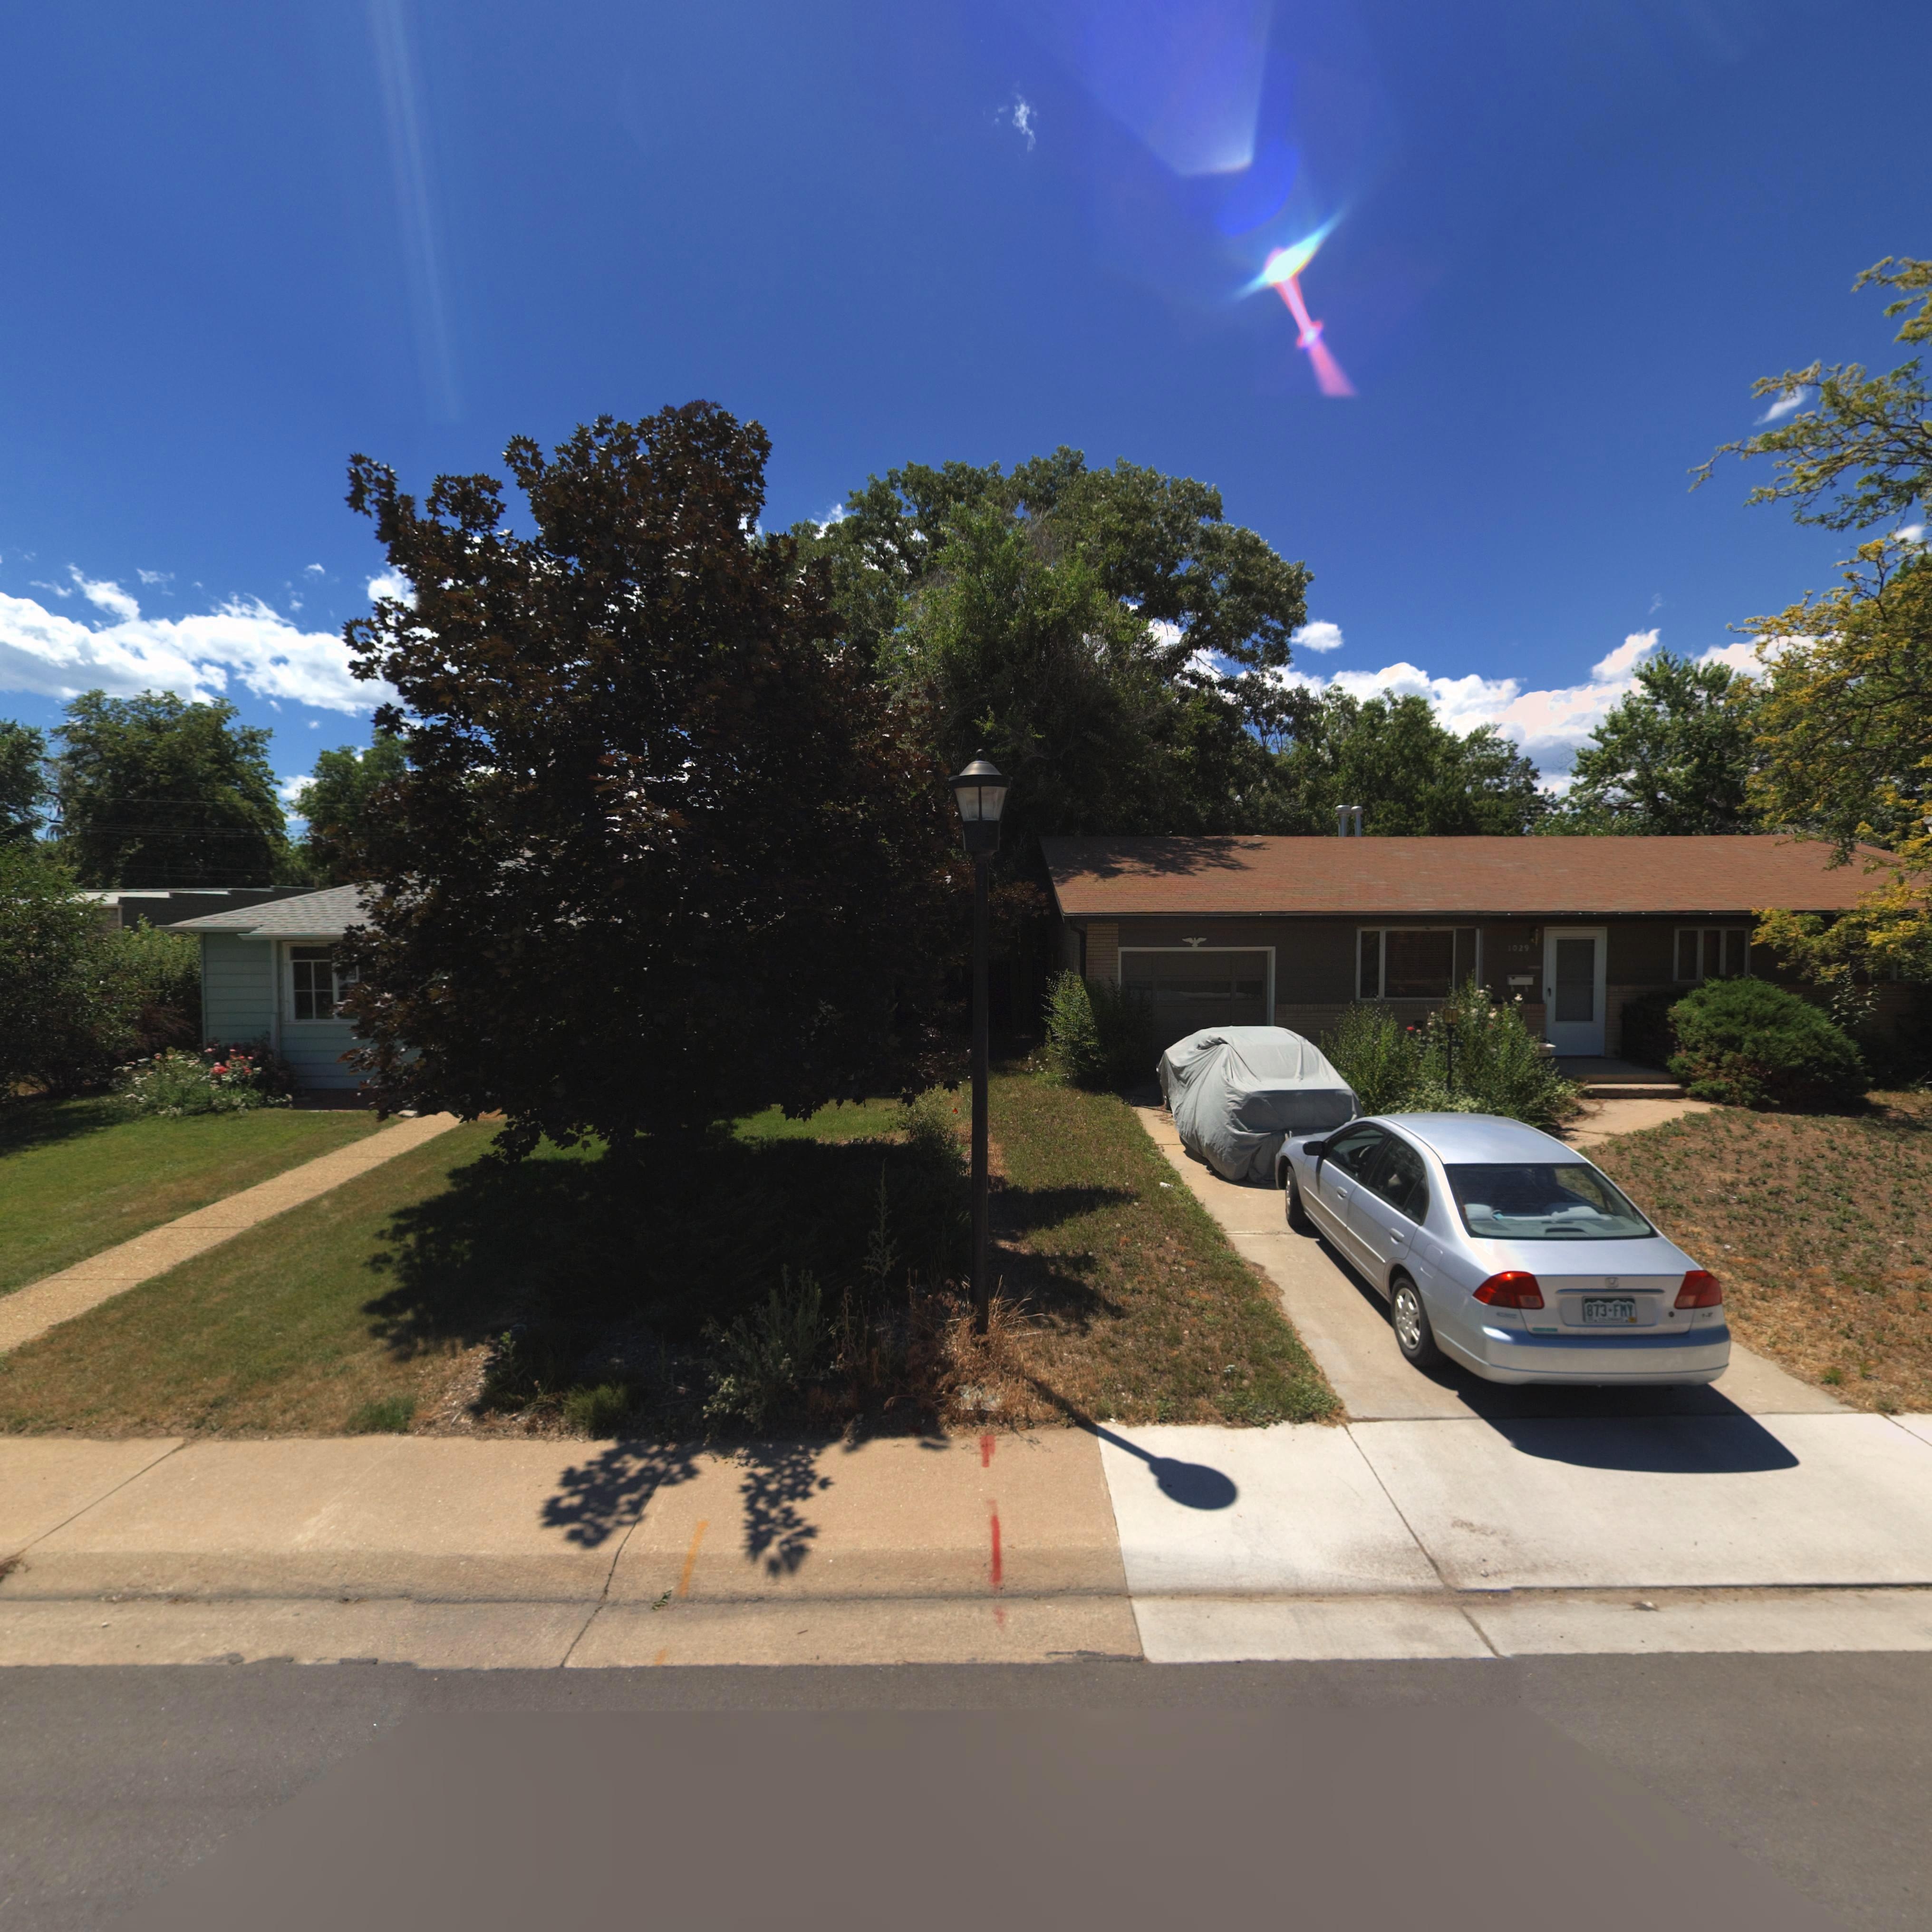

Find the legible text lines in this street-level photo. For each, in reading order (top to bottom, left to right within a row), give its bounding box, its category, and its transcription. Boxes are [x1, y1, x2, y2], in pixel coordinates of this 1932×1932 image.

[1507, 944, 1530, 952] StreetNumber: 1029